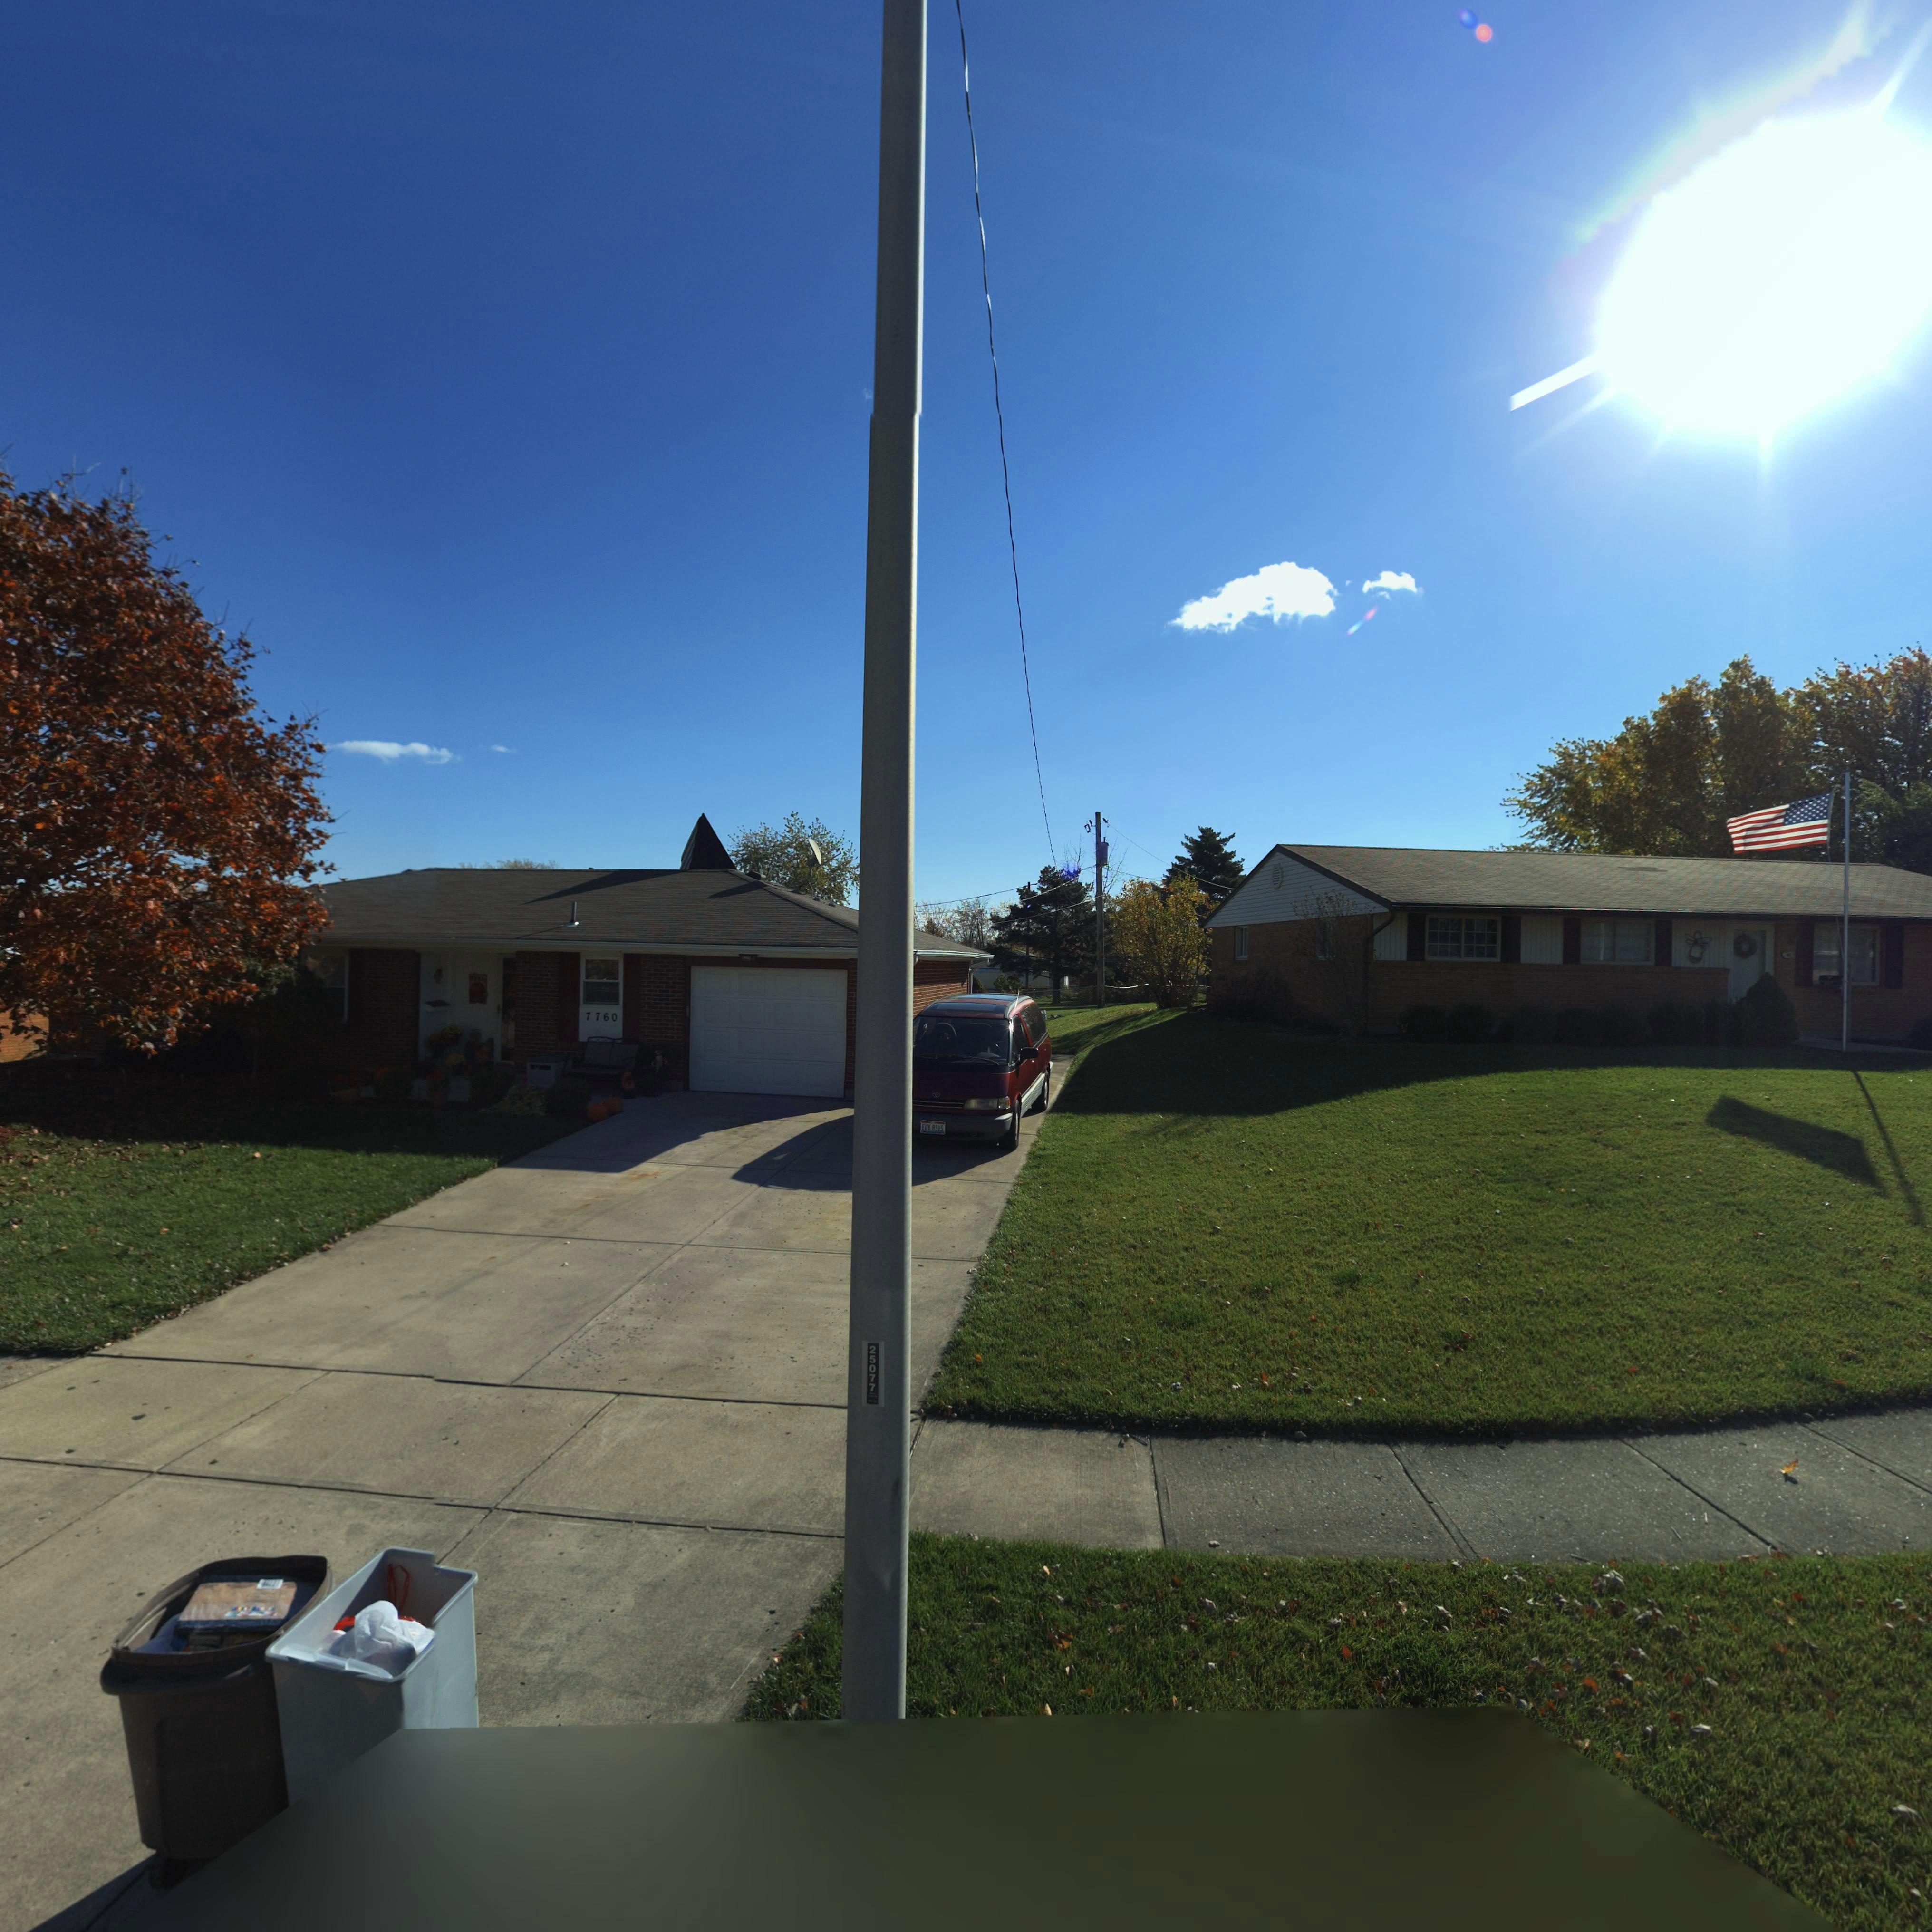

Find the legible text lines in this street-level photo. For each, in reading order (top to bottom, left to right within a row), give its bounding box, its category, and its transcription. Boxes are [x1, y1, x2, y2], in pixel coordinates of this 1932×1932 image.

[584, 1011, 618, 1023] StreetNumber: 7760